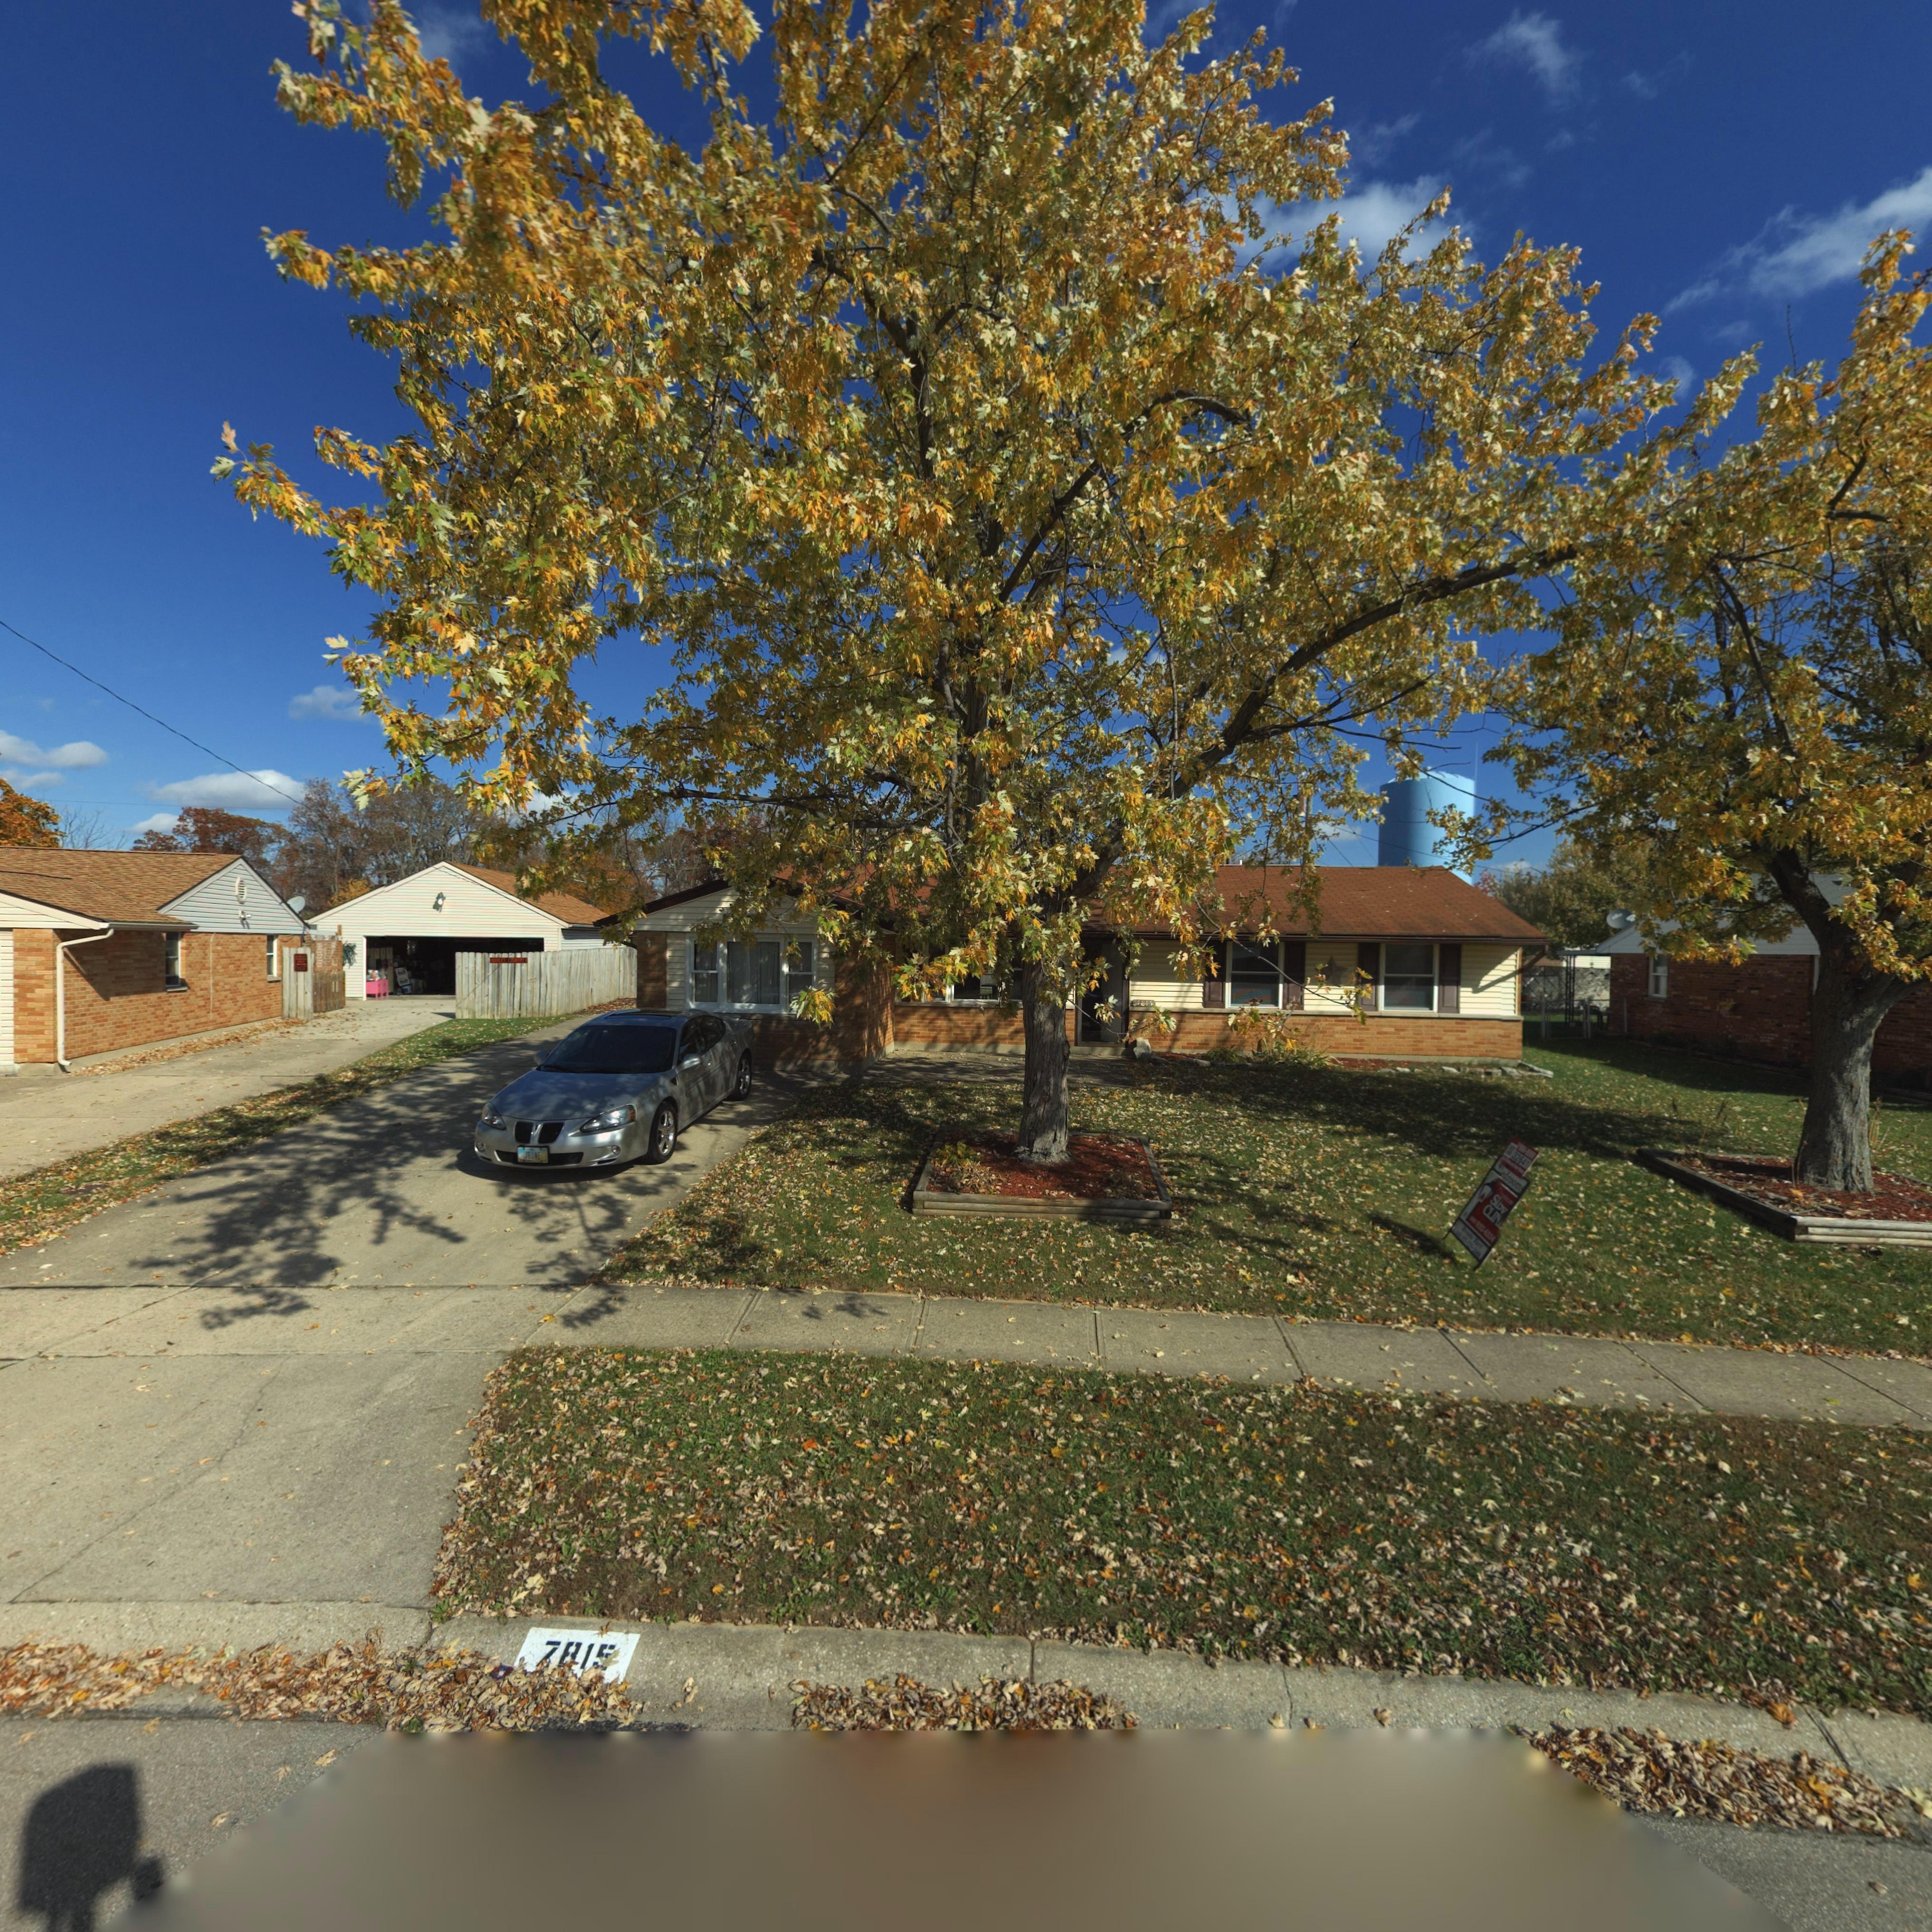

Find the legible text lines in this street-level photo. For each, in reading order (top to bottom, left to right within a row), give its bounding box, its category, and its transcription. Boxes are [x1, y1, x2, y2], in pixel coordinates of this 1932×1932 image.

[1136, 999, 1154, 1007] StreetNumber: 7815
[534, 1639, 618, 1672] StreetNumber: 7815